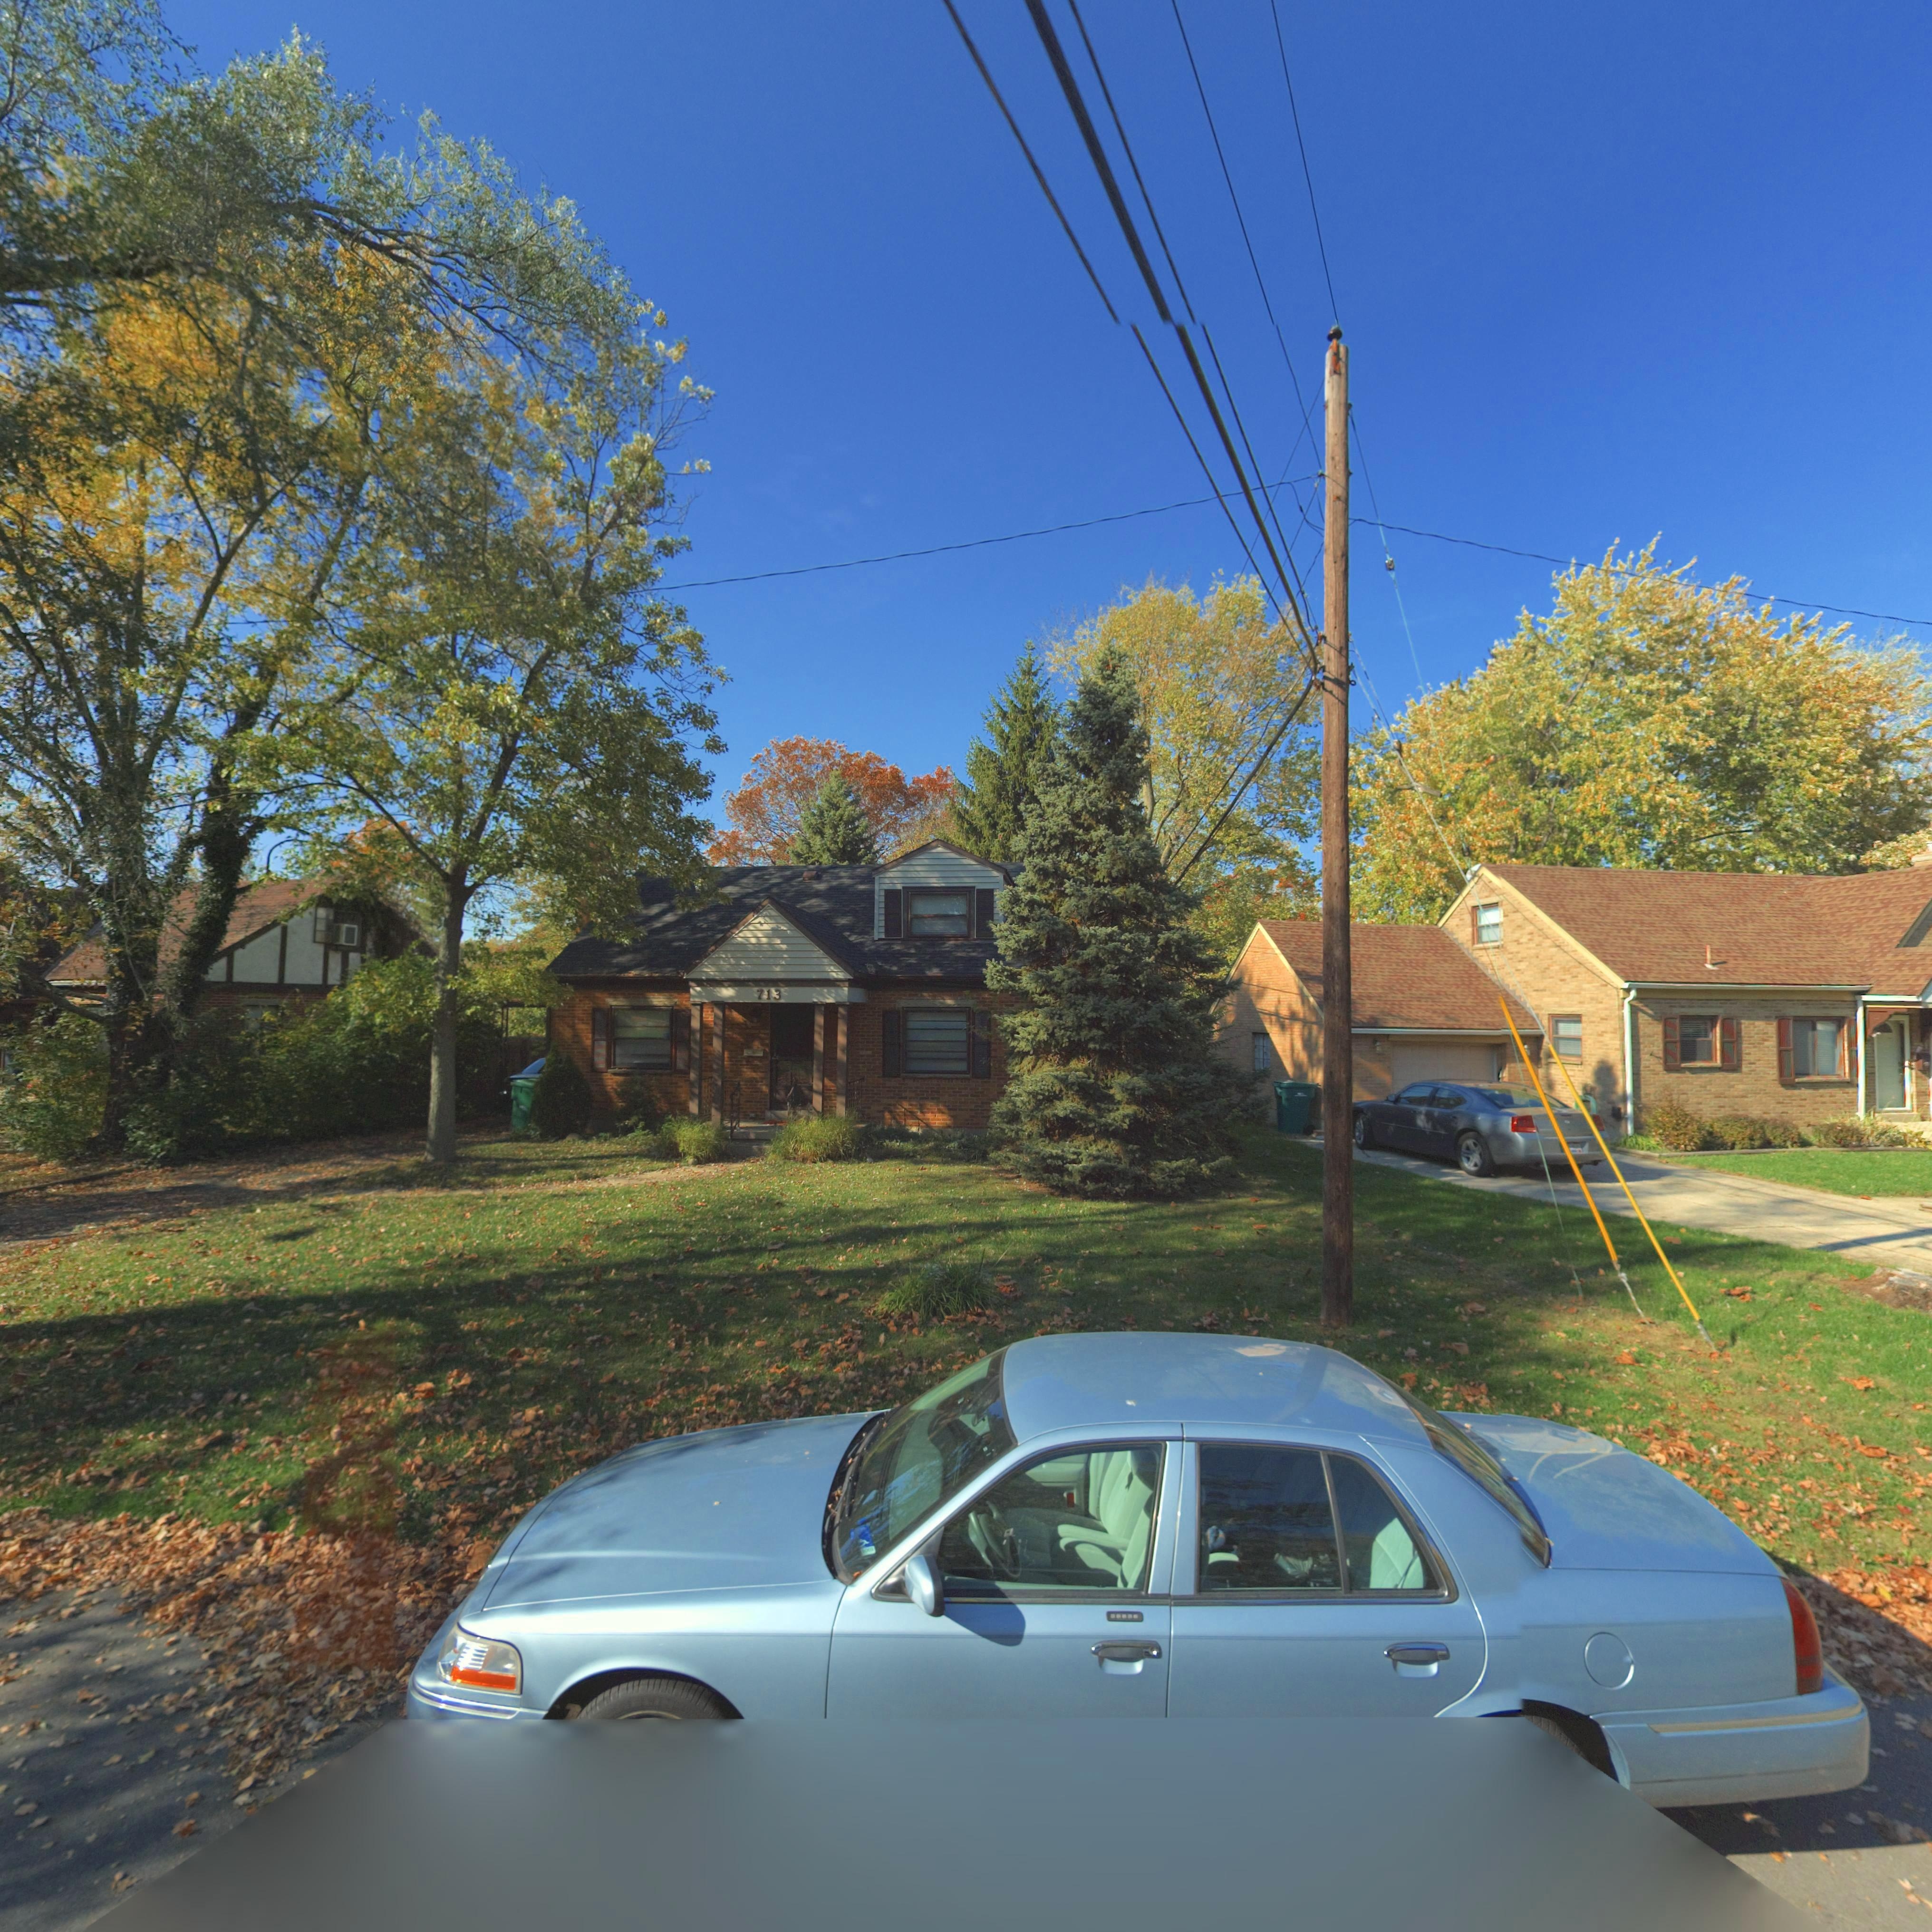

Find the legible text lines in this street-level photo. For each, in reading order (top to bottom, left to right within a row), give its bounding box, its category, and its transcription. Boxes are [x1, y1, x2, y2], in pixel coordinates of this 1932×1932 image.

[756, 988, 782, 1001] StreetNumber: 713